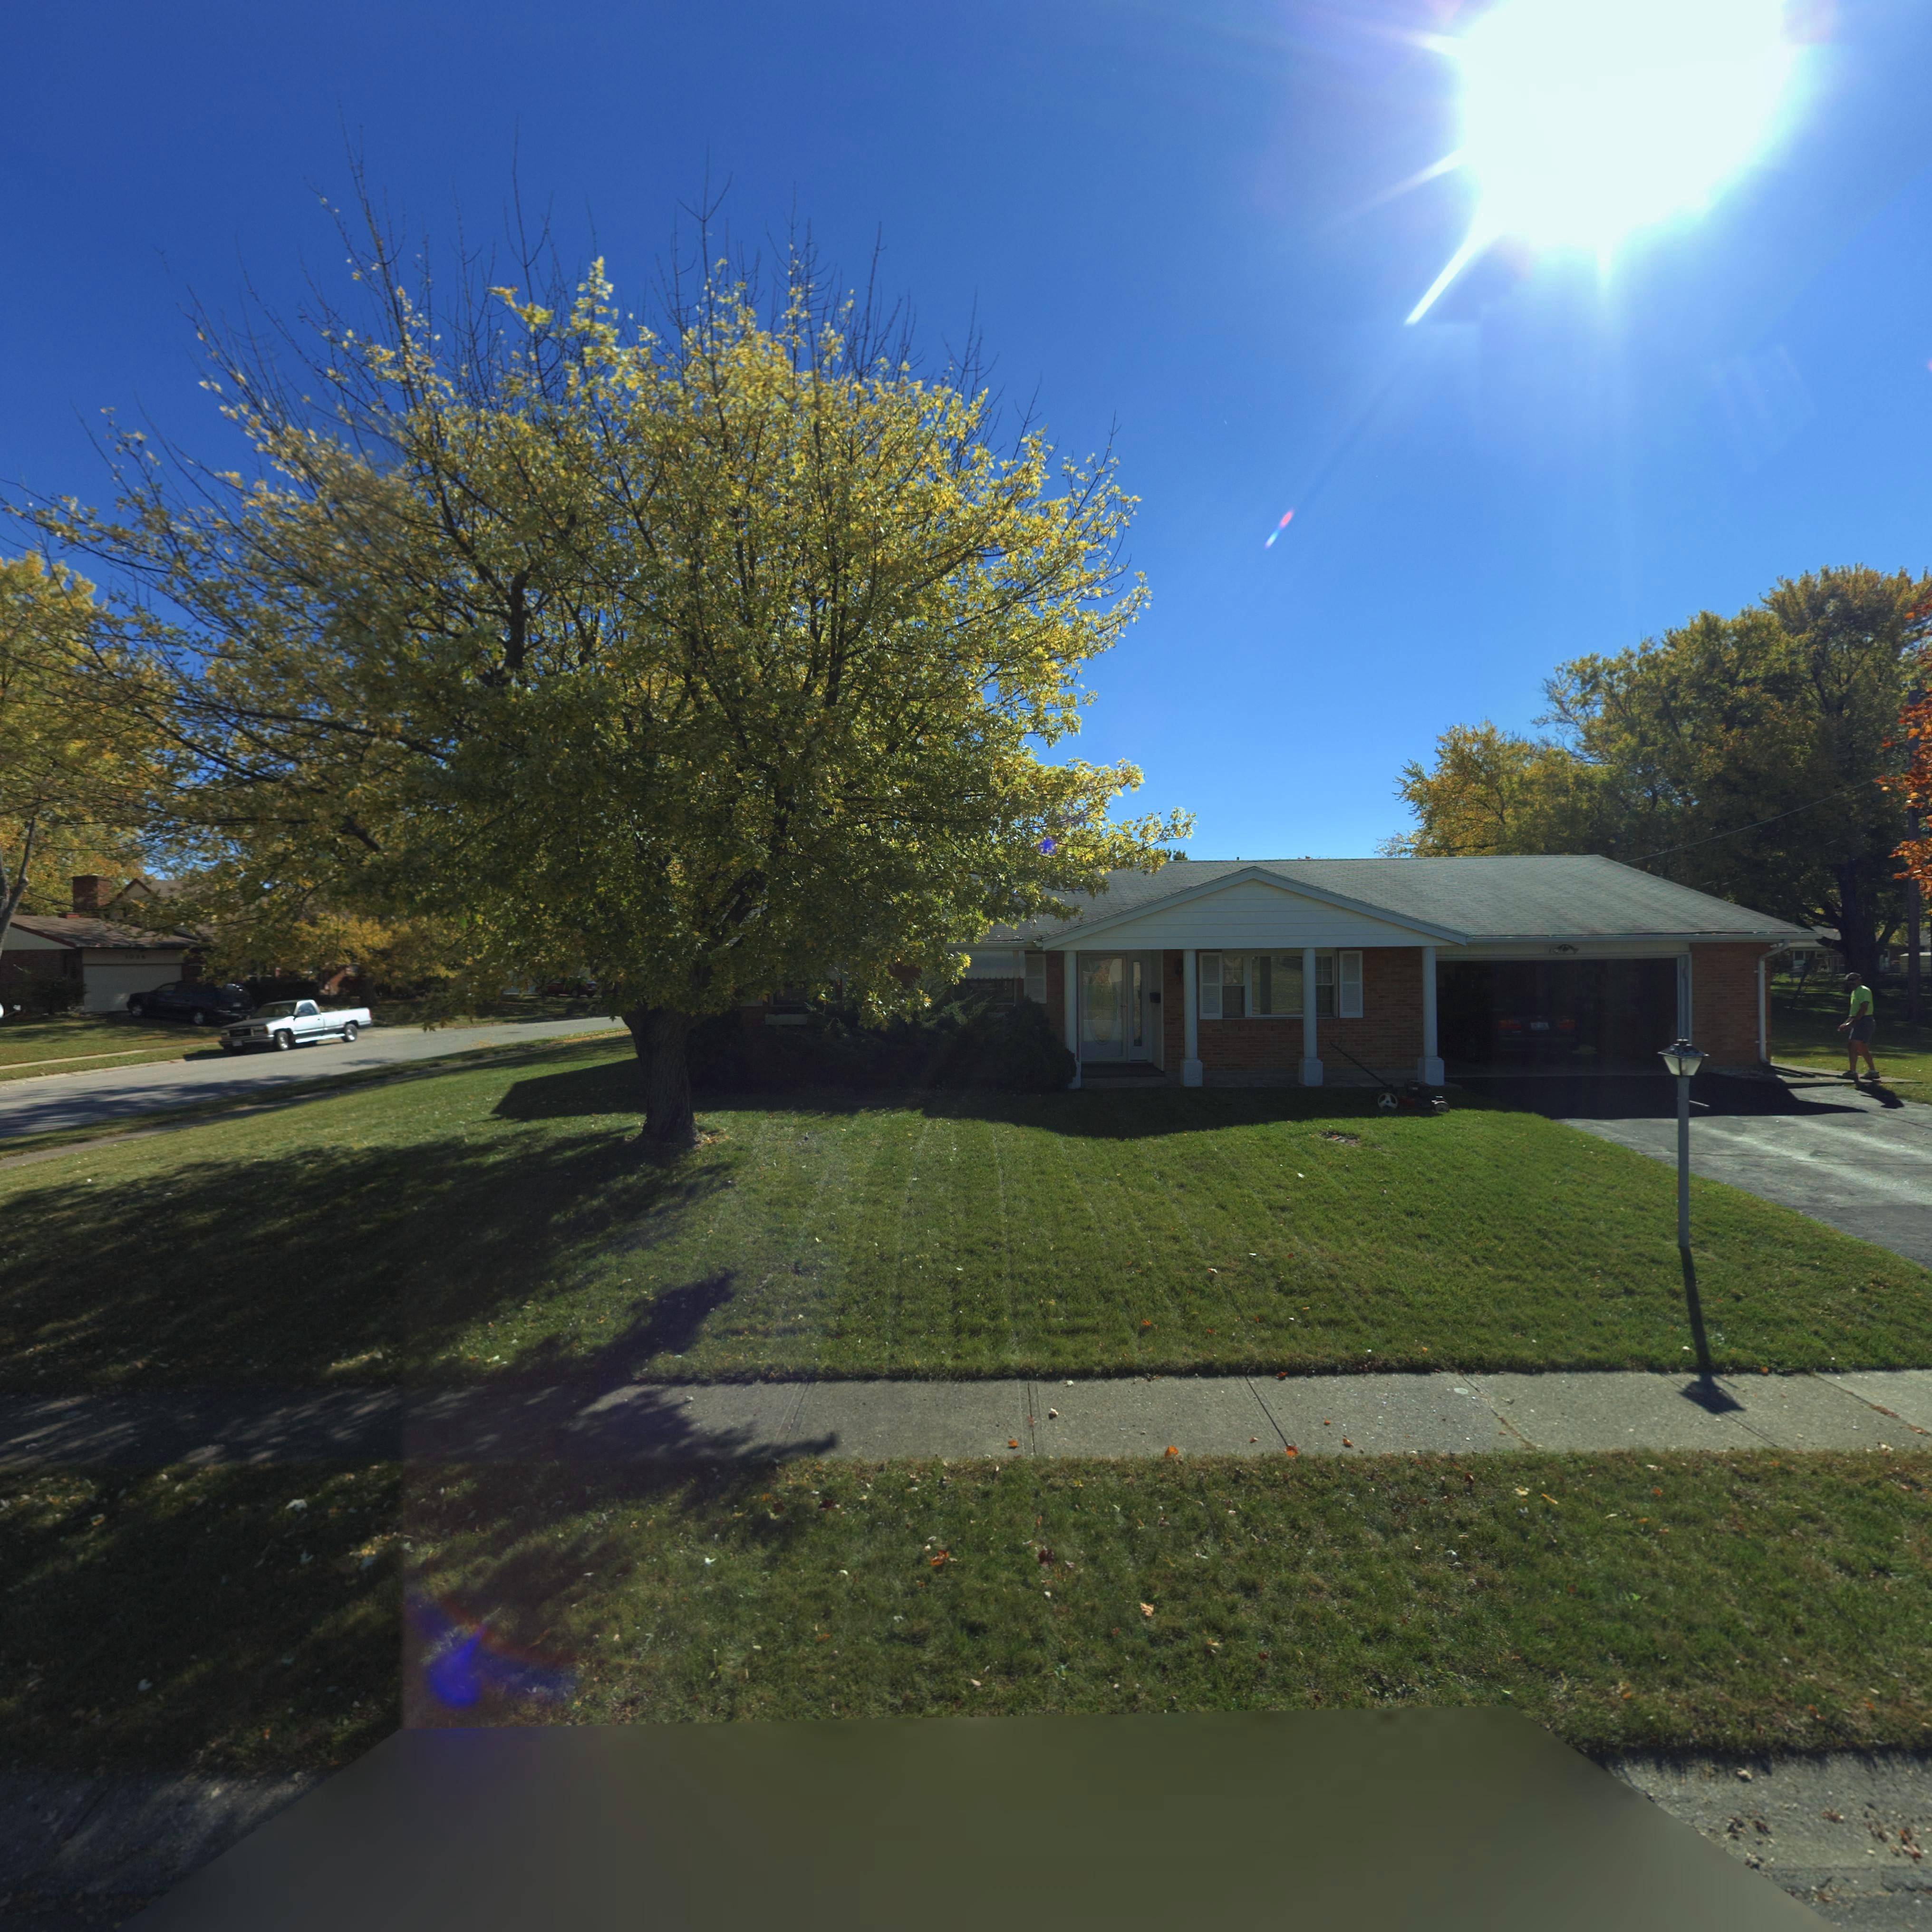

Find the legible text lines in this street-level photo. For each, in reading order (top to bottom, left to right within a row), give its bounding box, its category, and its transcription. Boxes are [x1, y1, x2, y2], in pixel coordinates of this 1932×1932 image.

[1547, 947, 1553, 955] StreetNumber: 1